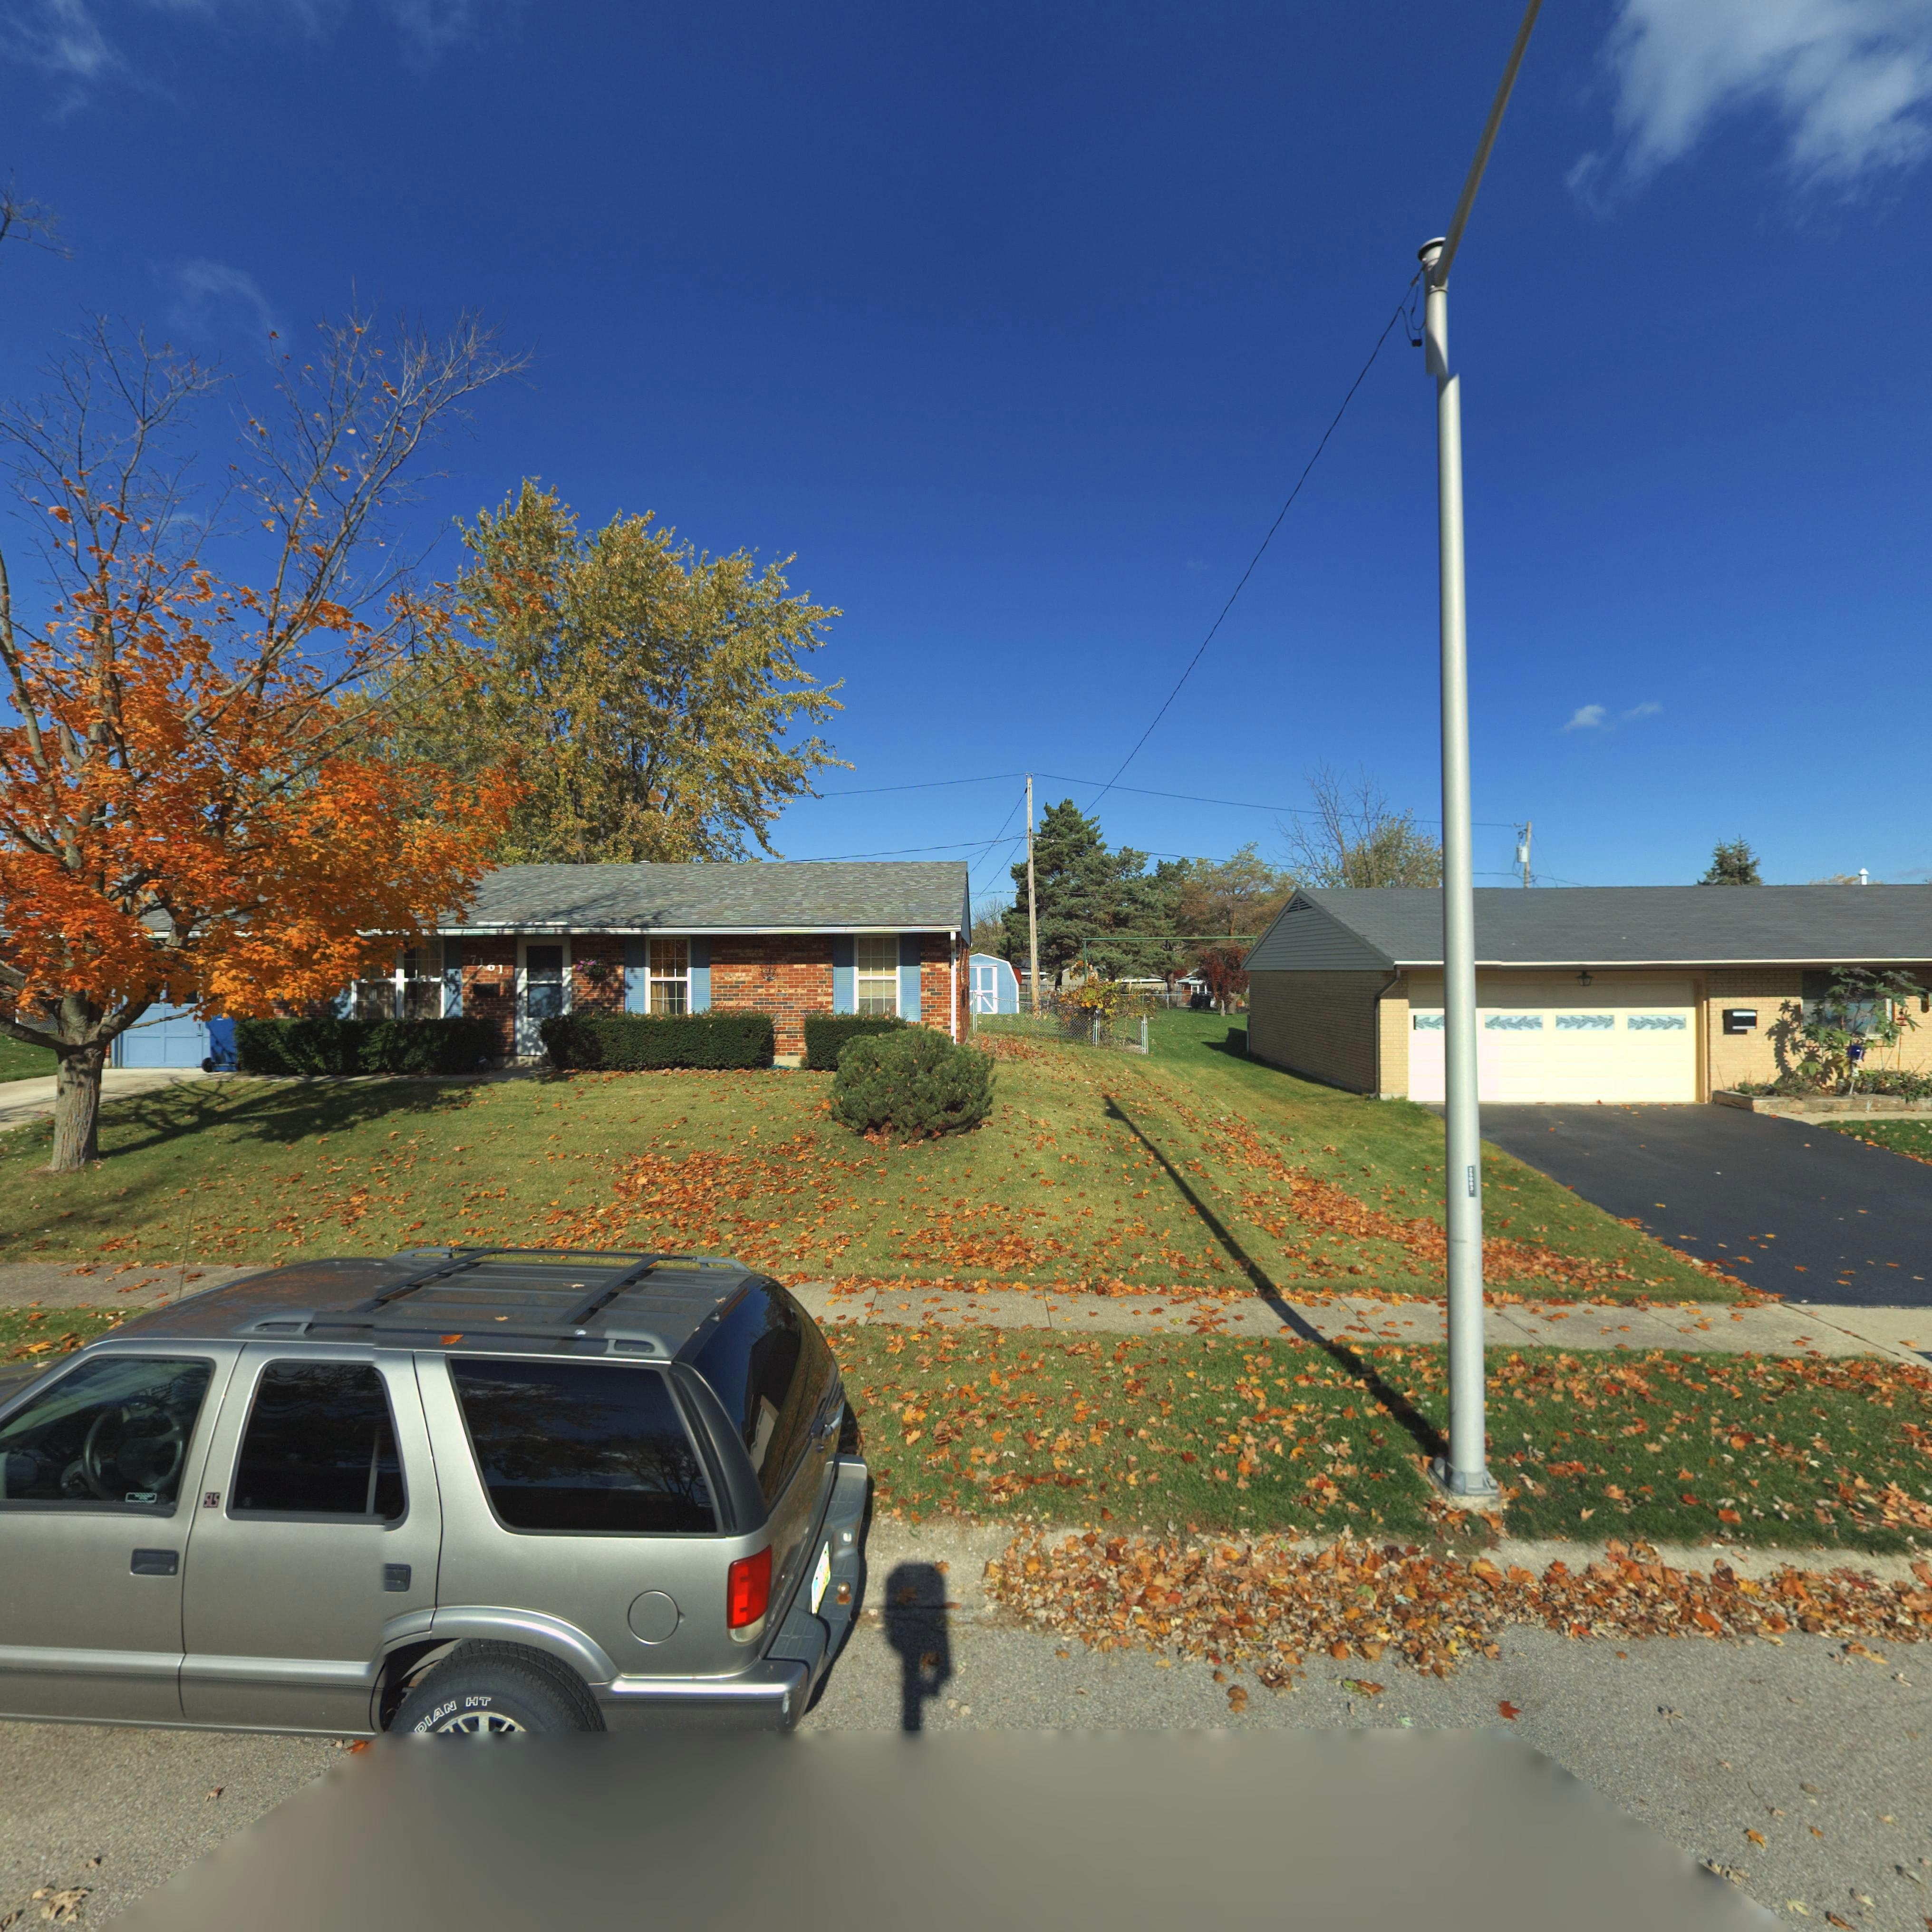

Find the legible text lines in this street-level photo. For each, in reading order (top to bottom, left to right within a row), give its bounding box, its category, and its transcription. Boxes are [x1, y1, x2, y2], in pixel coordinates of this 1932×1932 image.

[469, 954, 504, 976] StreetNumber: 7161